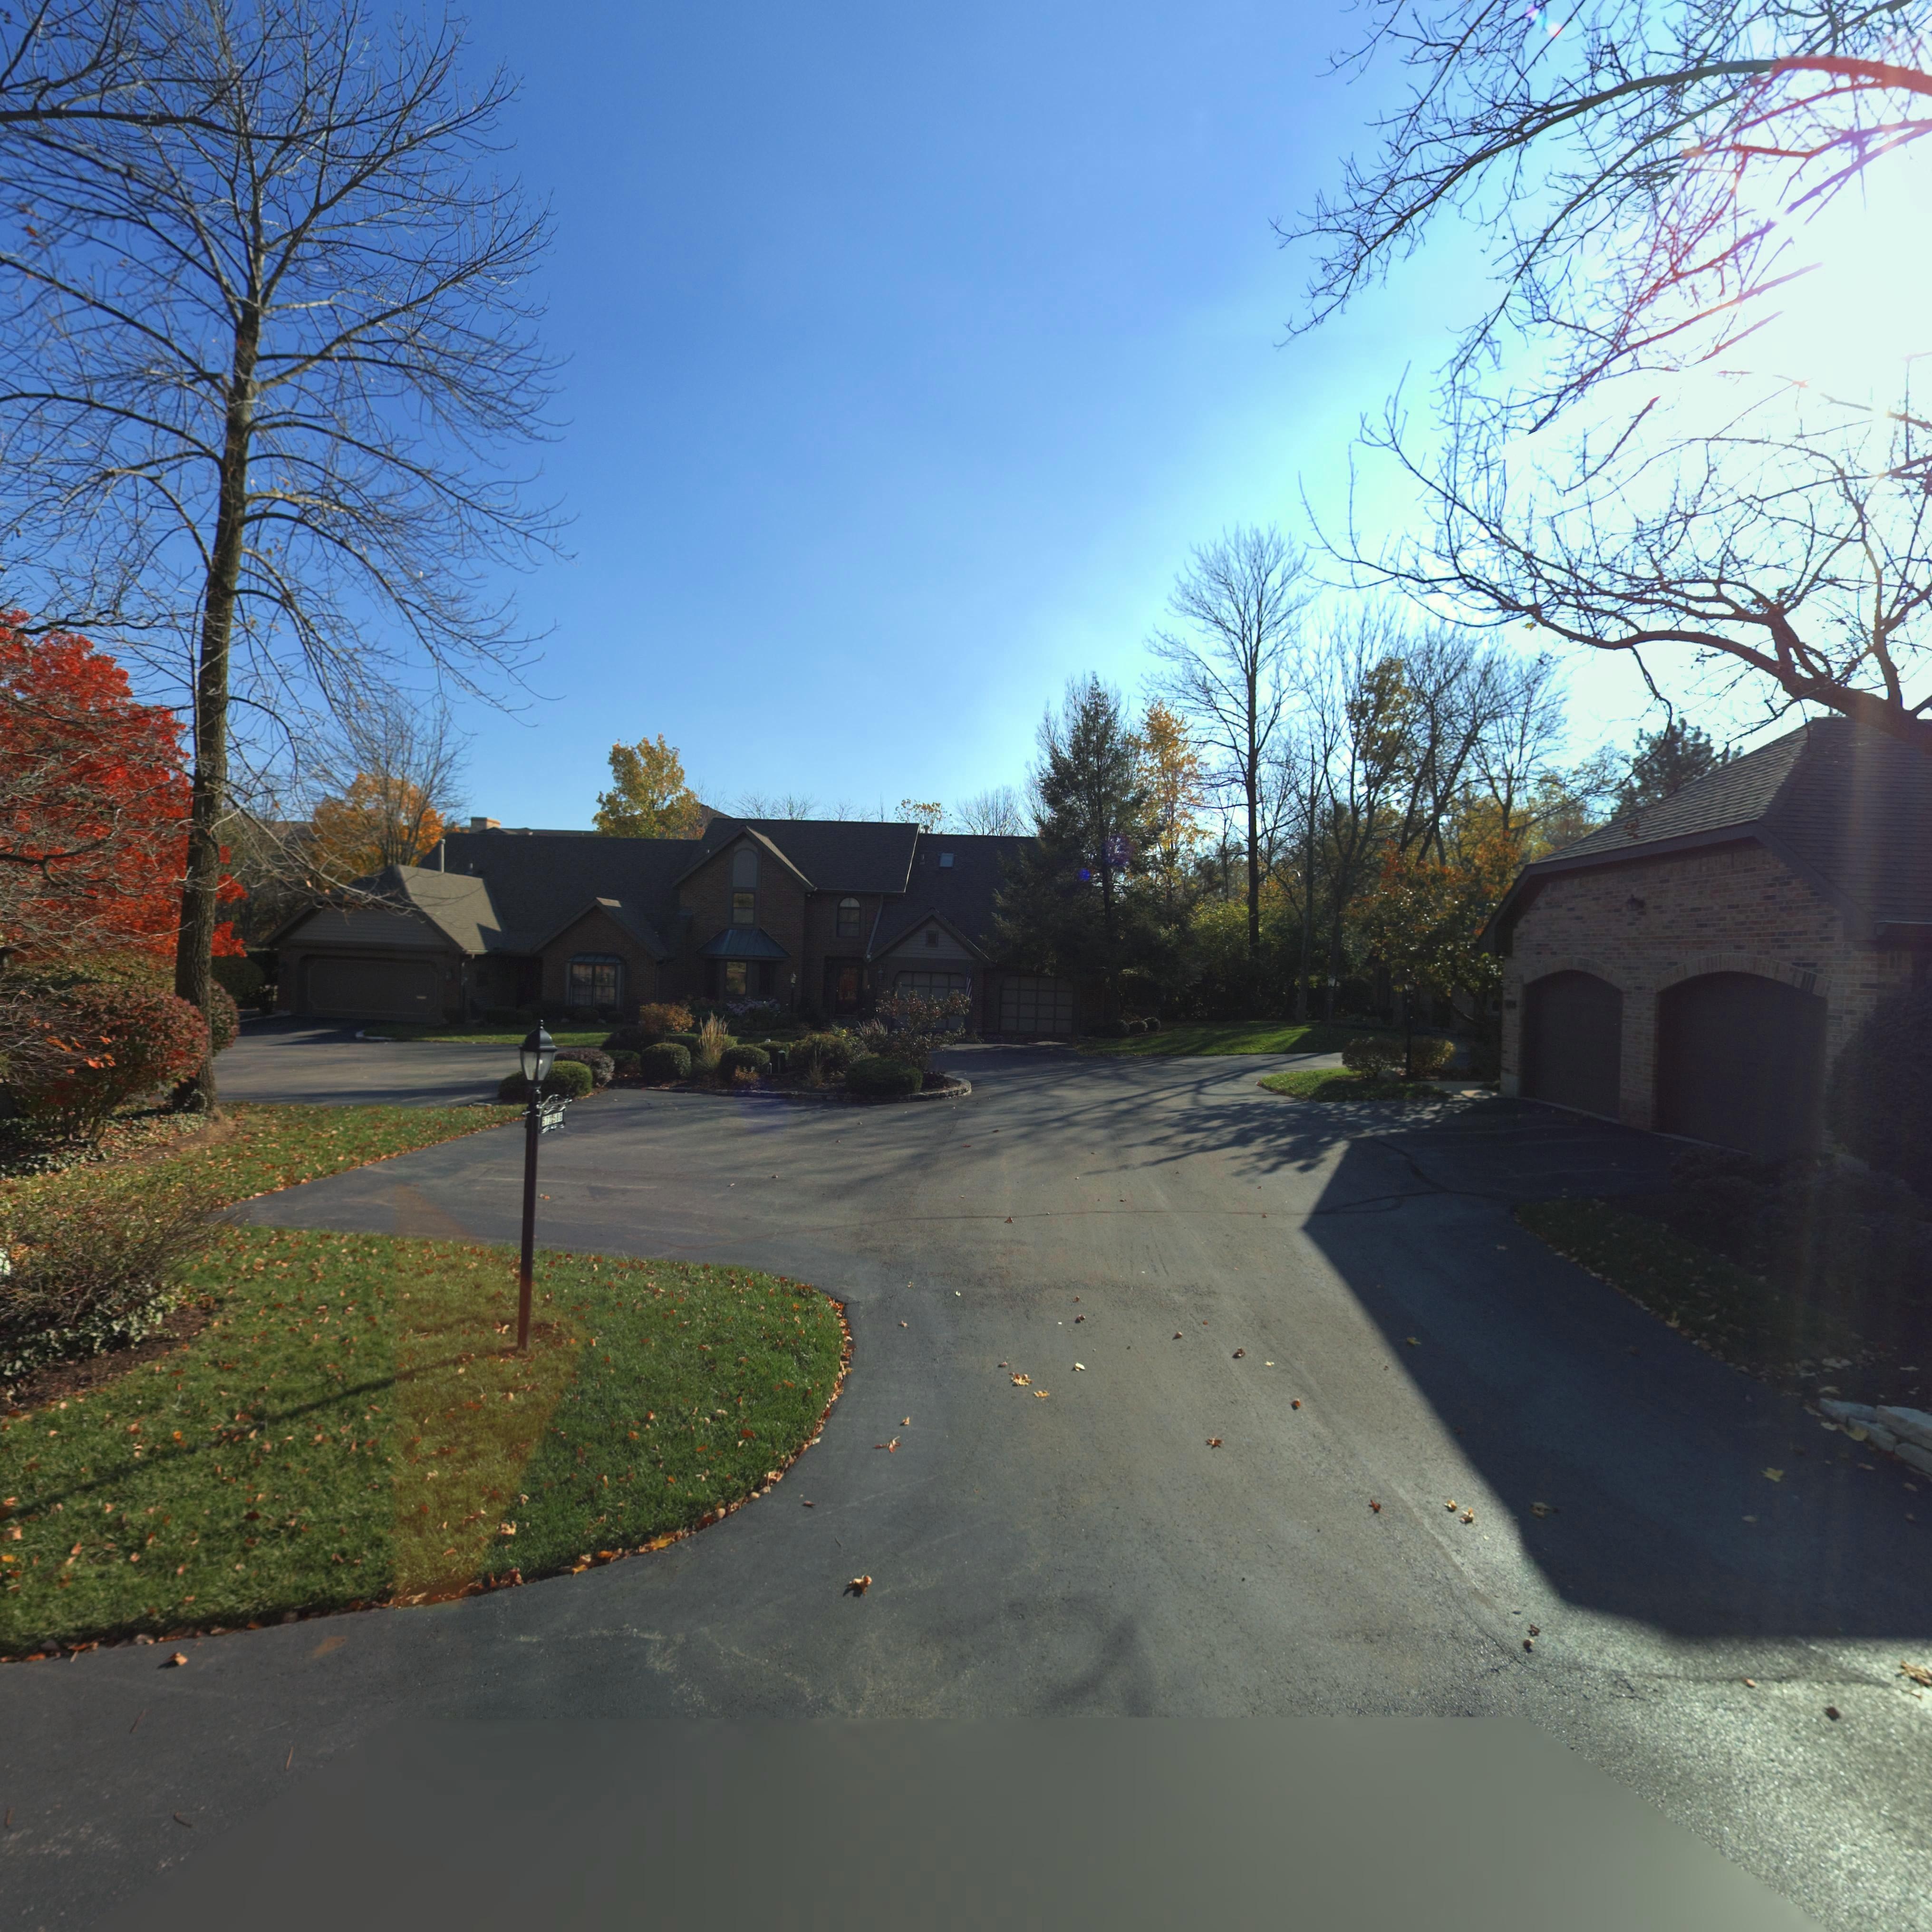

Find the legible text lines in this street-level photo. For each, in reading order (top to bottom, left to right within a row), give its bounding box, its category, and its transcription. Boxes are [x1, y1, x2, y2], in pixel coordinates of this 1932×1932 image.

[540, 1115, 551, 1125] StreetNumber: 572